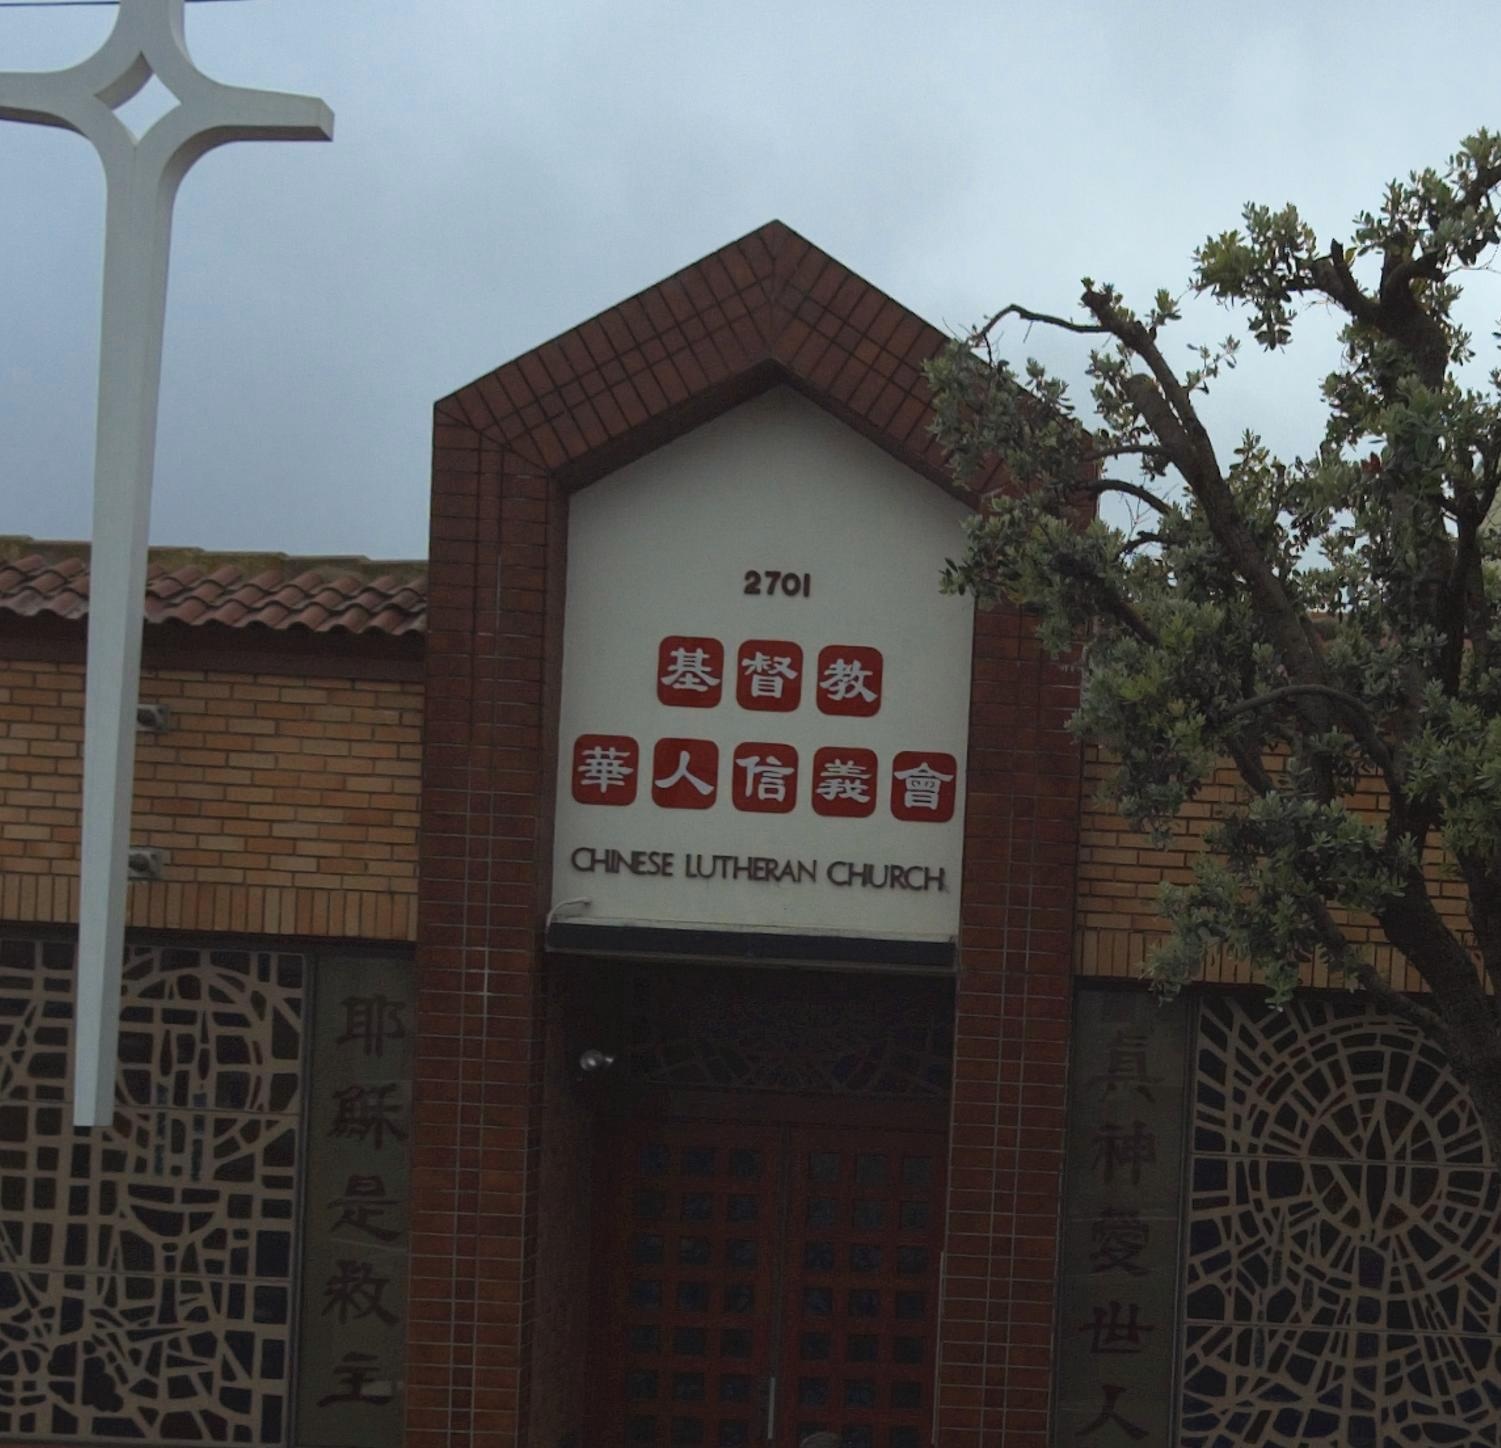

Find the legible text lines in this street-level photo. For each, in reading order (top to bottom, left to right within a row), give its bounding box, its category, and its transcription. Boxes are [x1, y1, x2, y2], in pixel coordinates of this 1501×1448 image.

[739, 563, 814, 603] StreetNumber: 2701
[569, 845, 948, 895] BusinessName: CHINESE LUTHERAN CHURCH